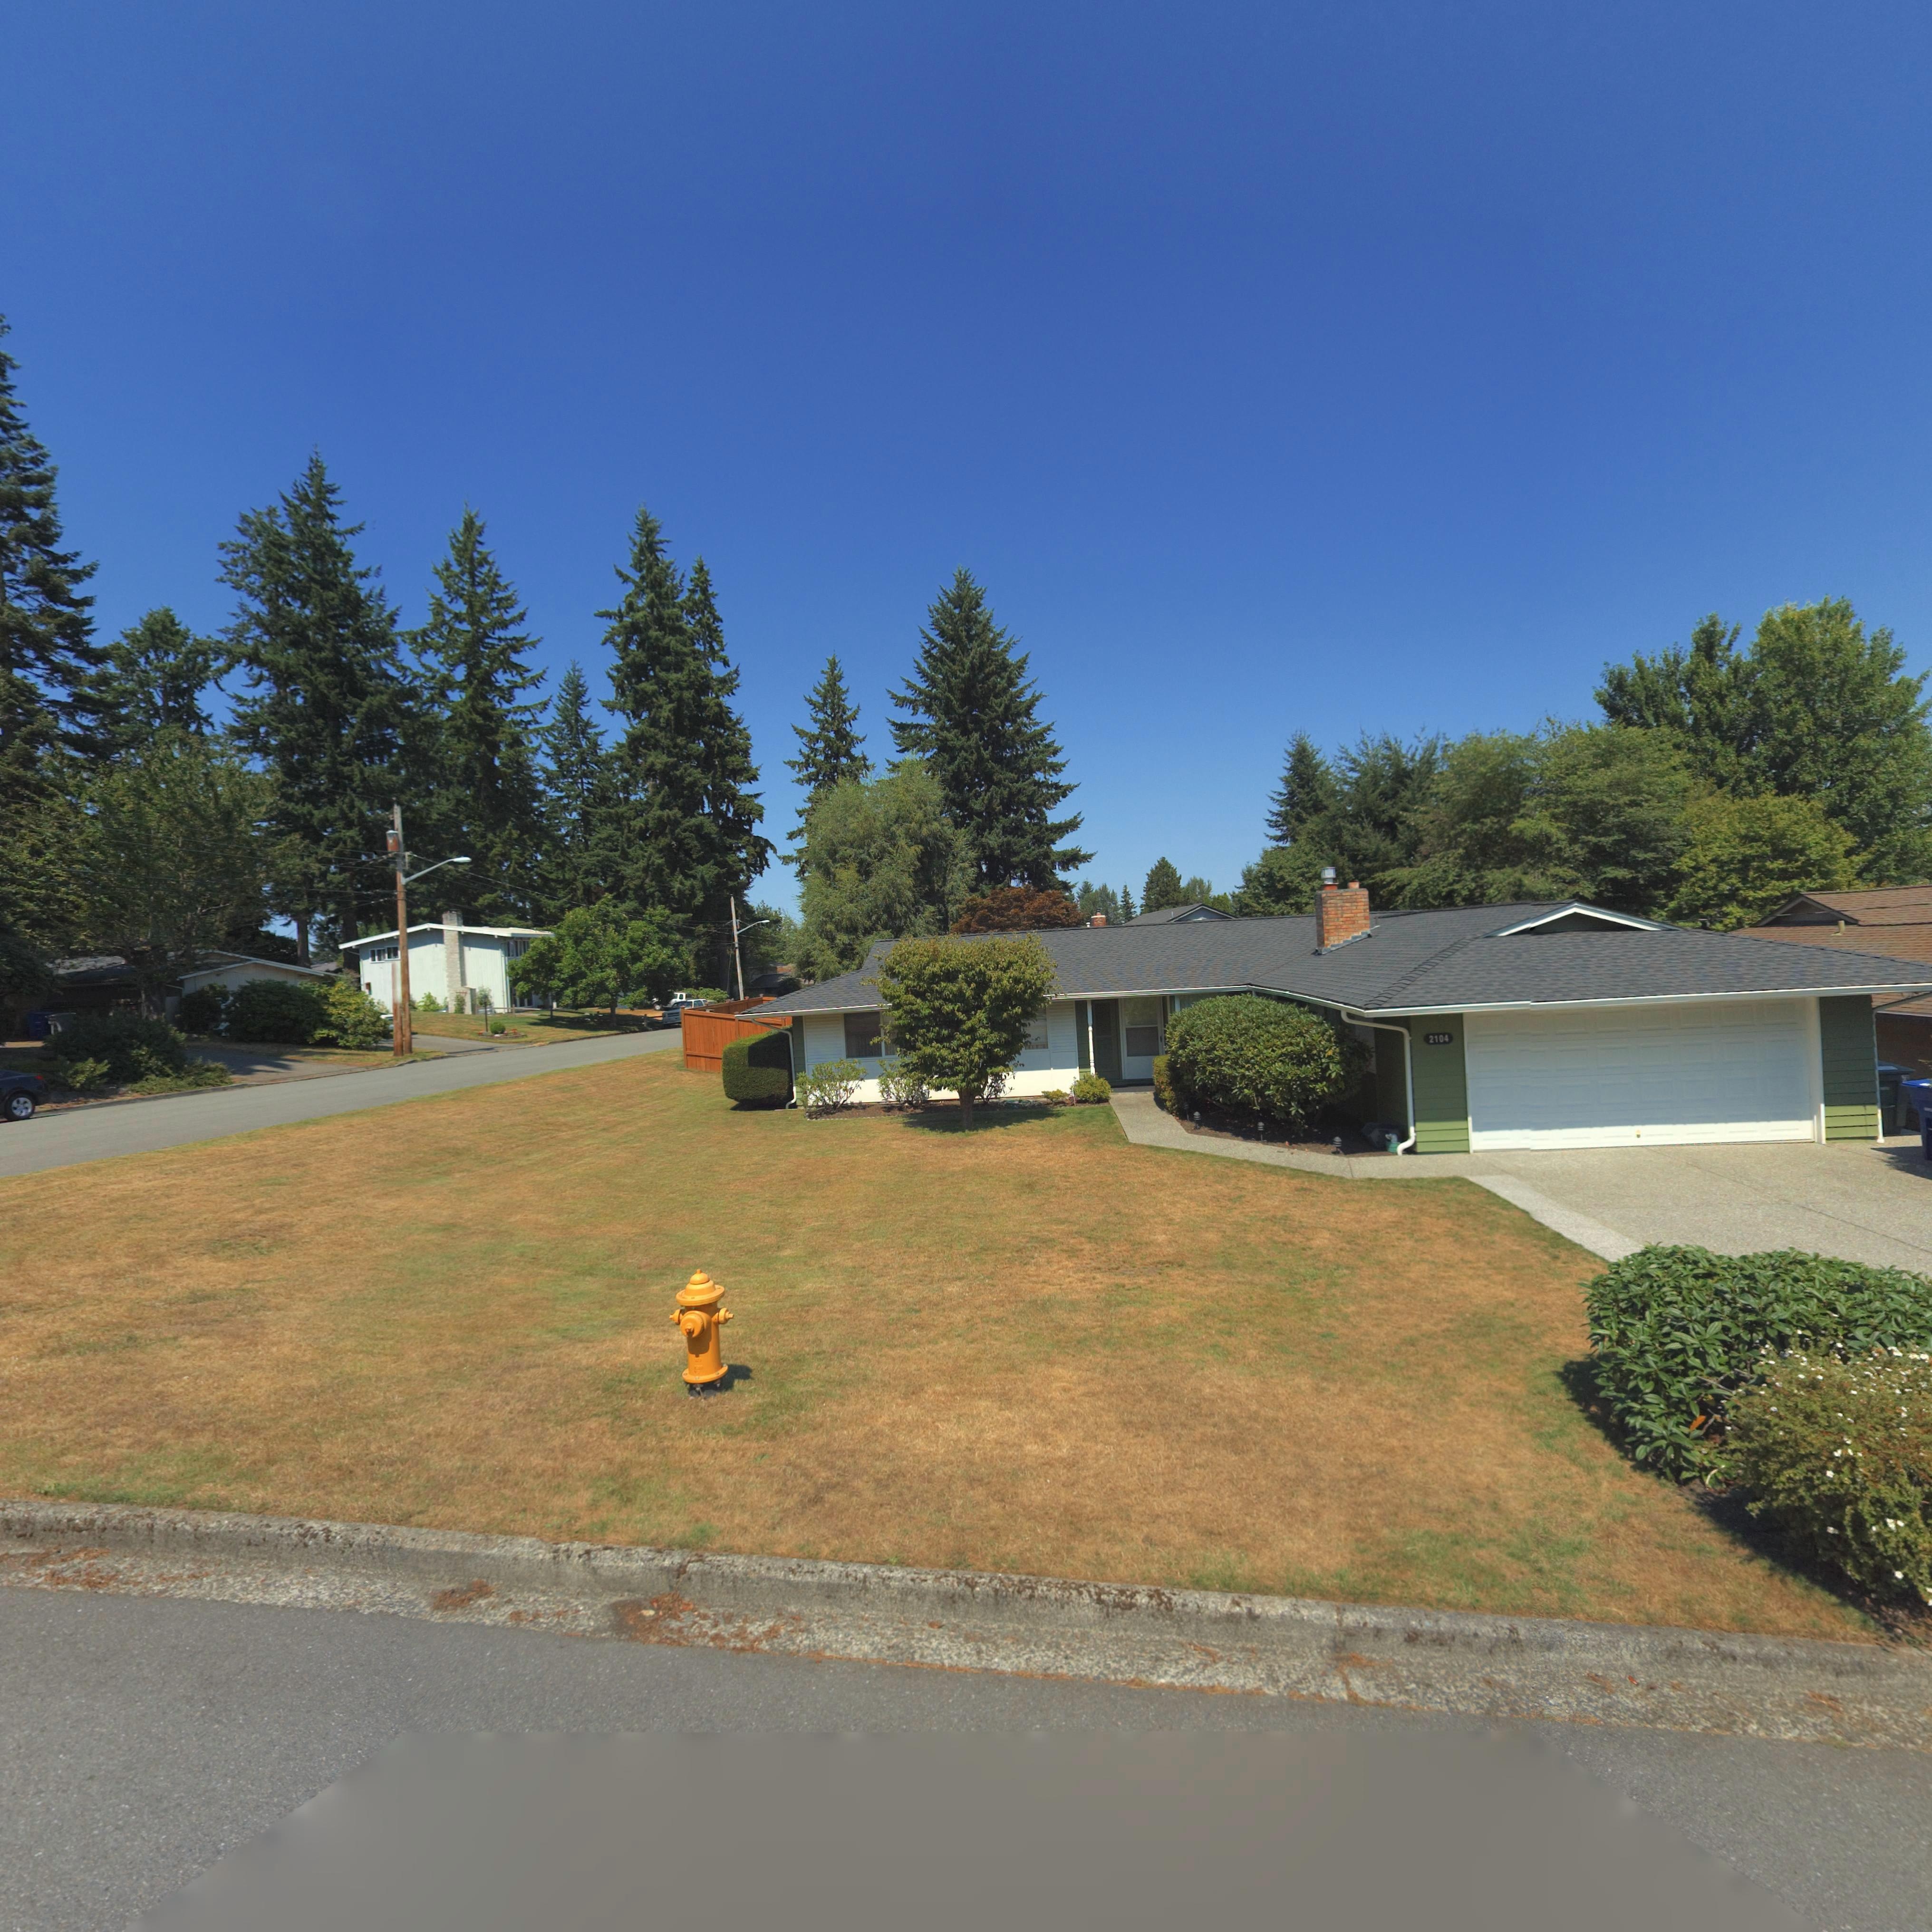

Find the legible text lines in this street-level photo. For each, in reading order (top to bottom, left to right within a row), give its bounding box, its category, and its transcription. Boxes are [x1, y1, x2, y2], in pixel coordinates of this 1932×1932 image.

[1429, 1034, 1449, 1043] StreetNumber: 2104